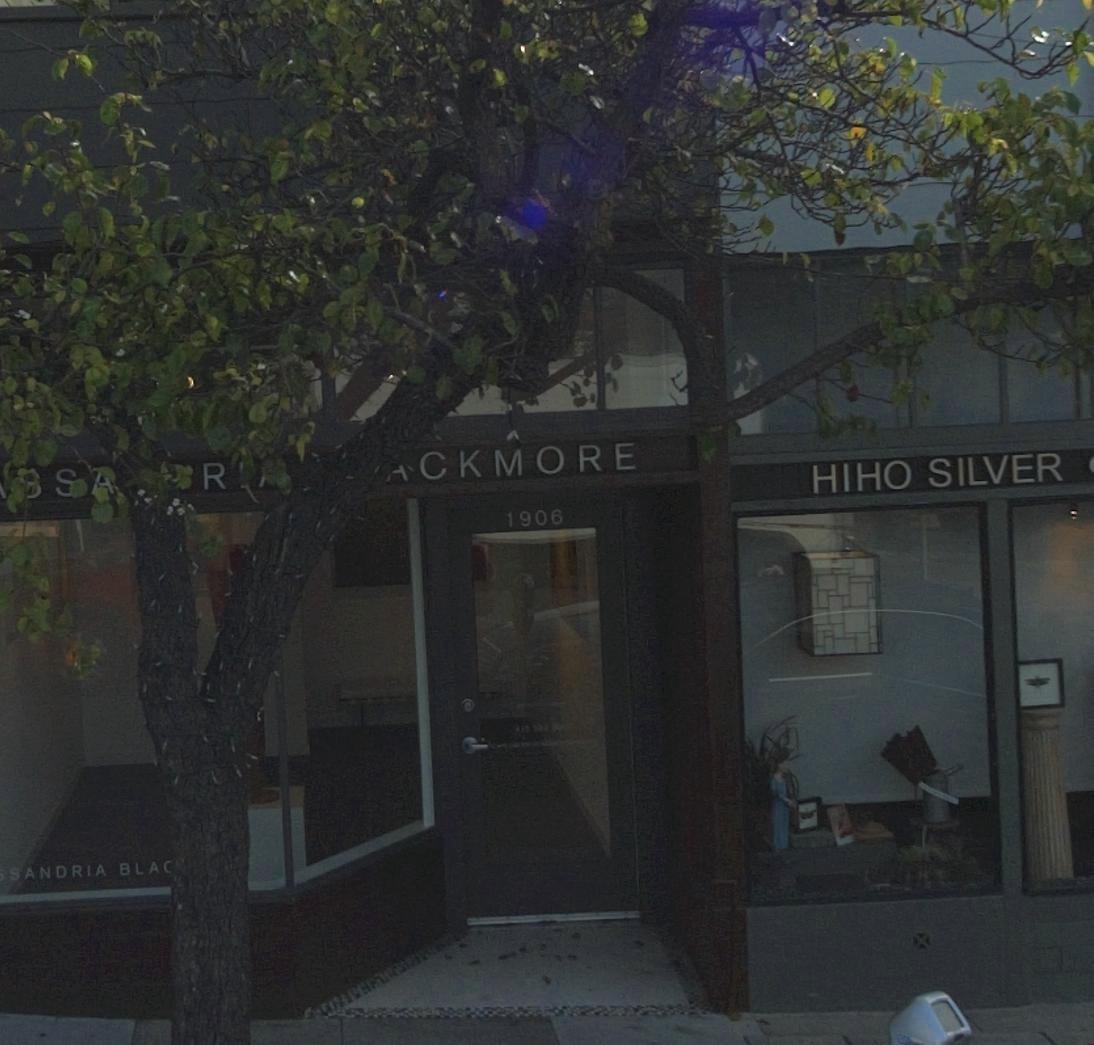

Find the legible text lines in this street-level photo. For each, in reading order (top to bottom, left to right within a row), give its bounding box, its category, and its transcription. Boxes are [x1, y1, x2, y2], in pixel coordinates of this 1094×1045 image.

[200, 459, 229, 493] BusinessName: R
[417, 440, 640, 484] BusinessName: CKMORE
[810, 448, 1068, 498] BusinessName: HIHO SILVER
[503, 505, 566, 531] StreetNumber: 1906
[7, 857, 163, 883] BusinessName: SANDRIA BLA